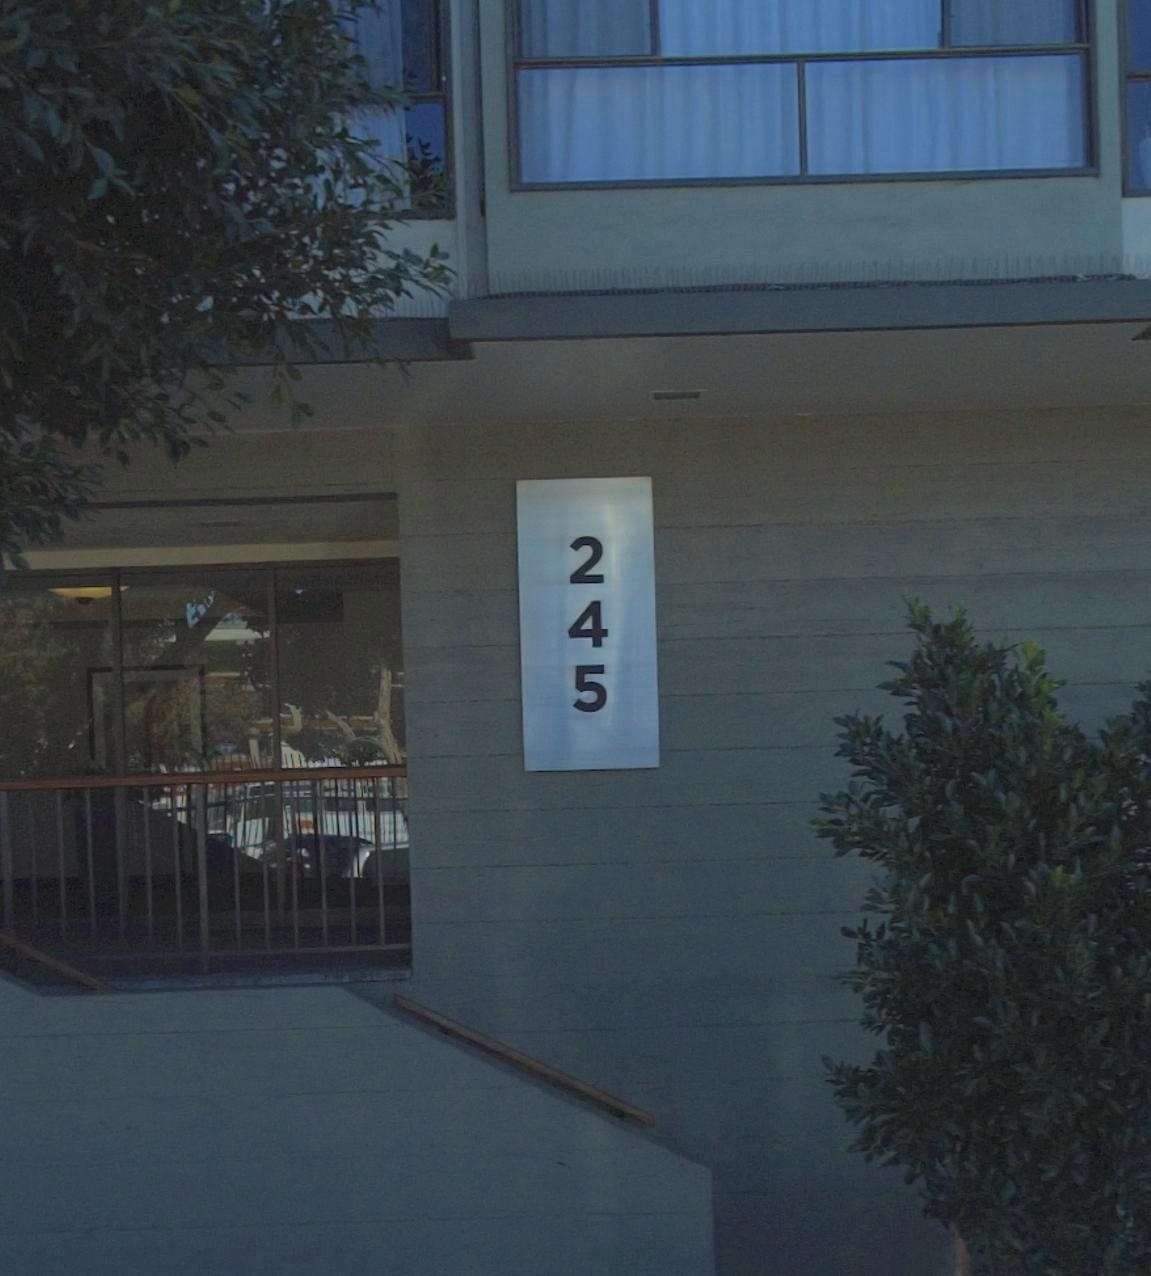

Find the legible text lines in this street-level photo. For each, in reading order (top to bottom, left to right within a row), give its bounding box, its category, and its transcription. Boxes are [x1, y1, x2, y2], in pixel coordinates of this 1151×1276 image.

[565, 534, 612, 715] StreetNumber: 245